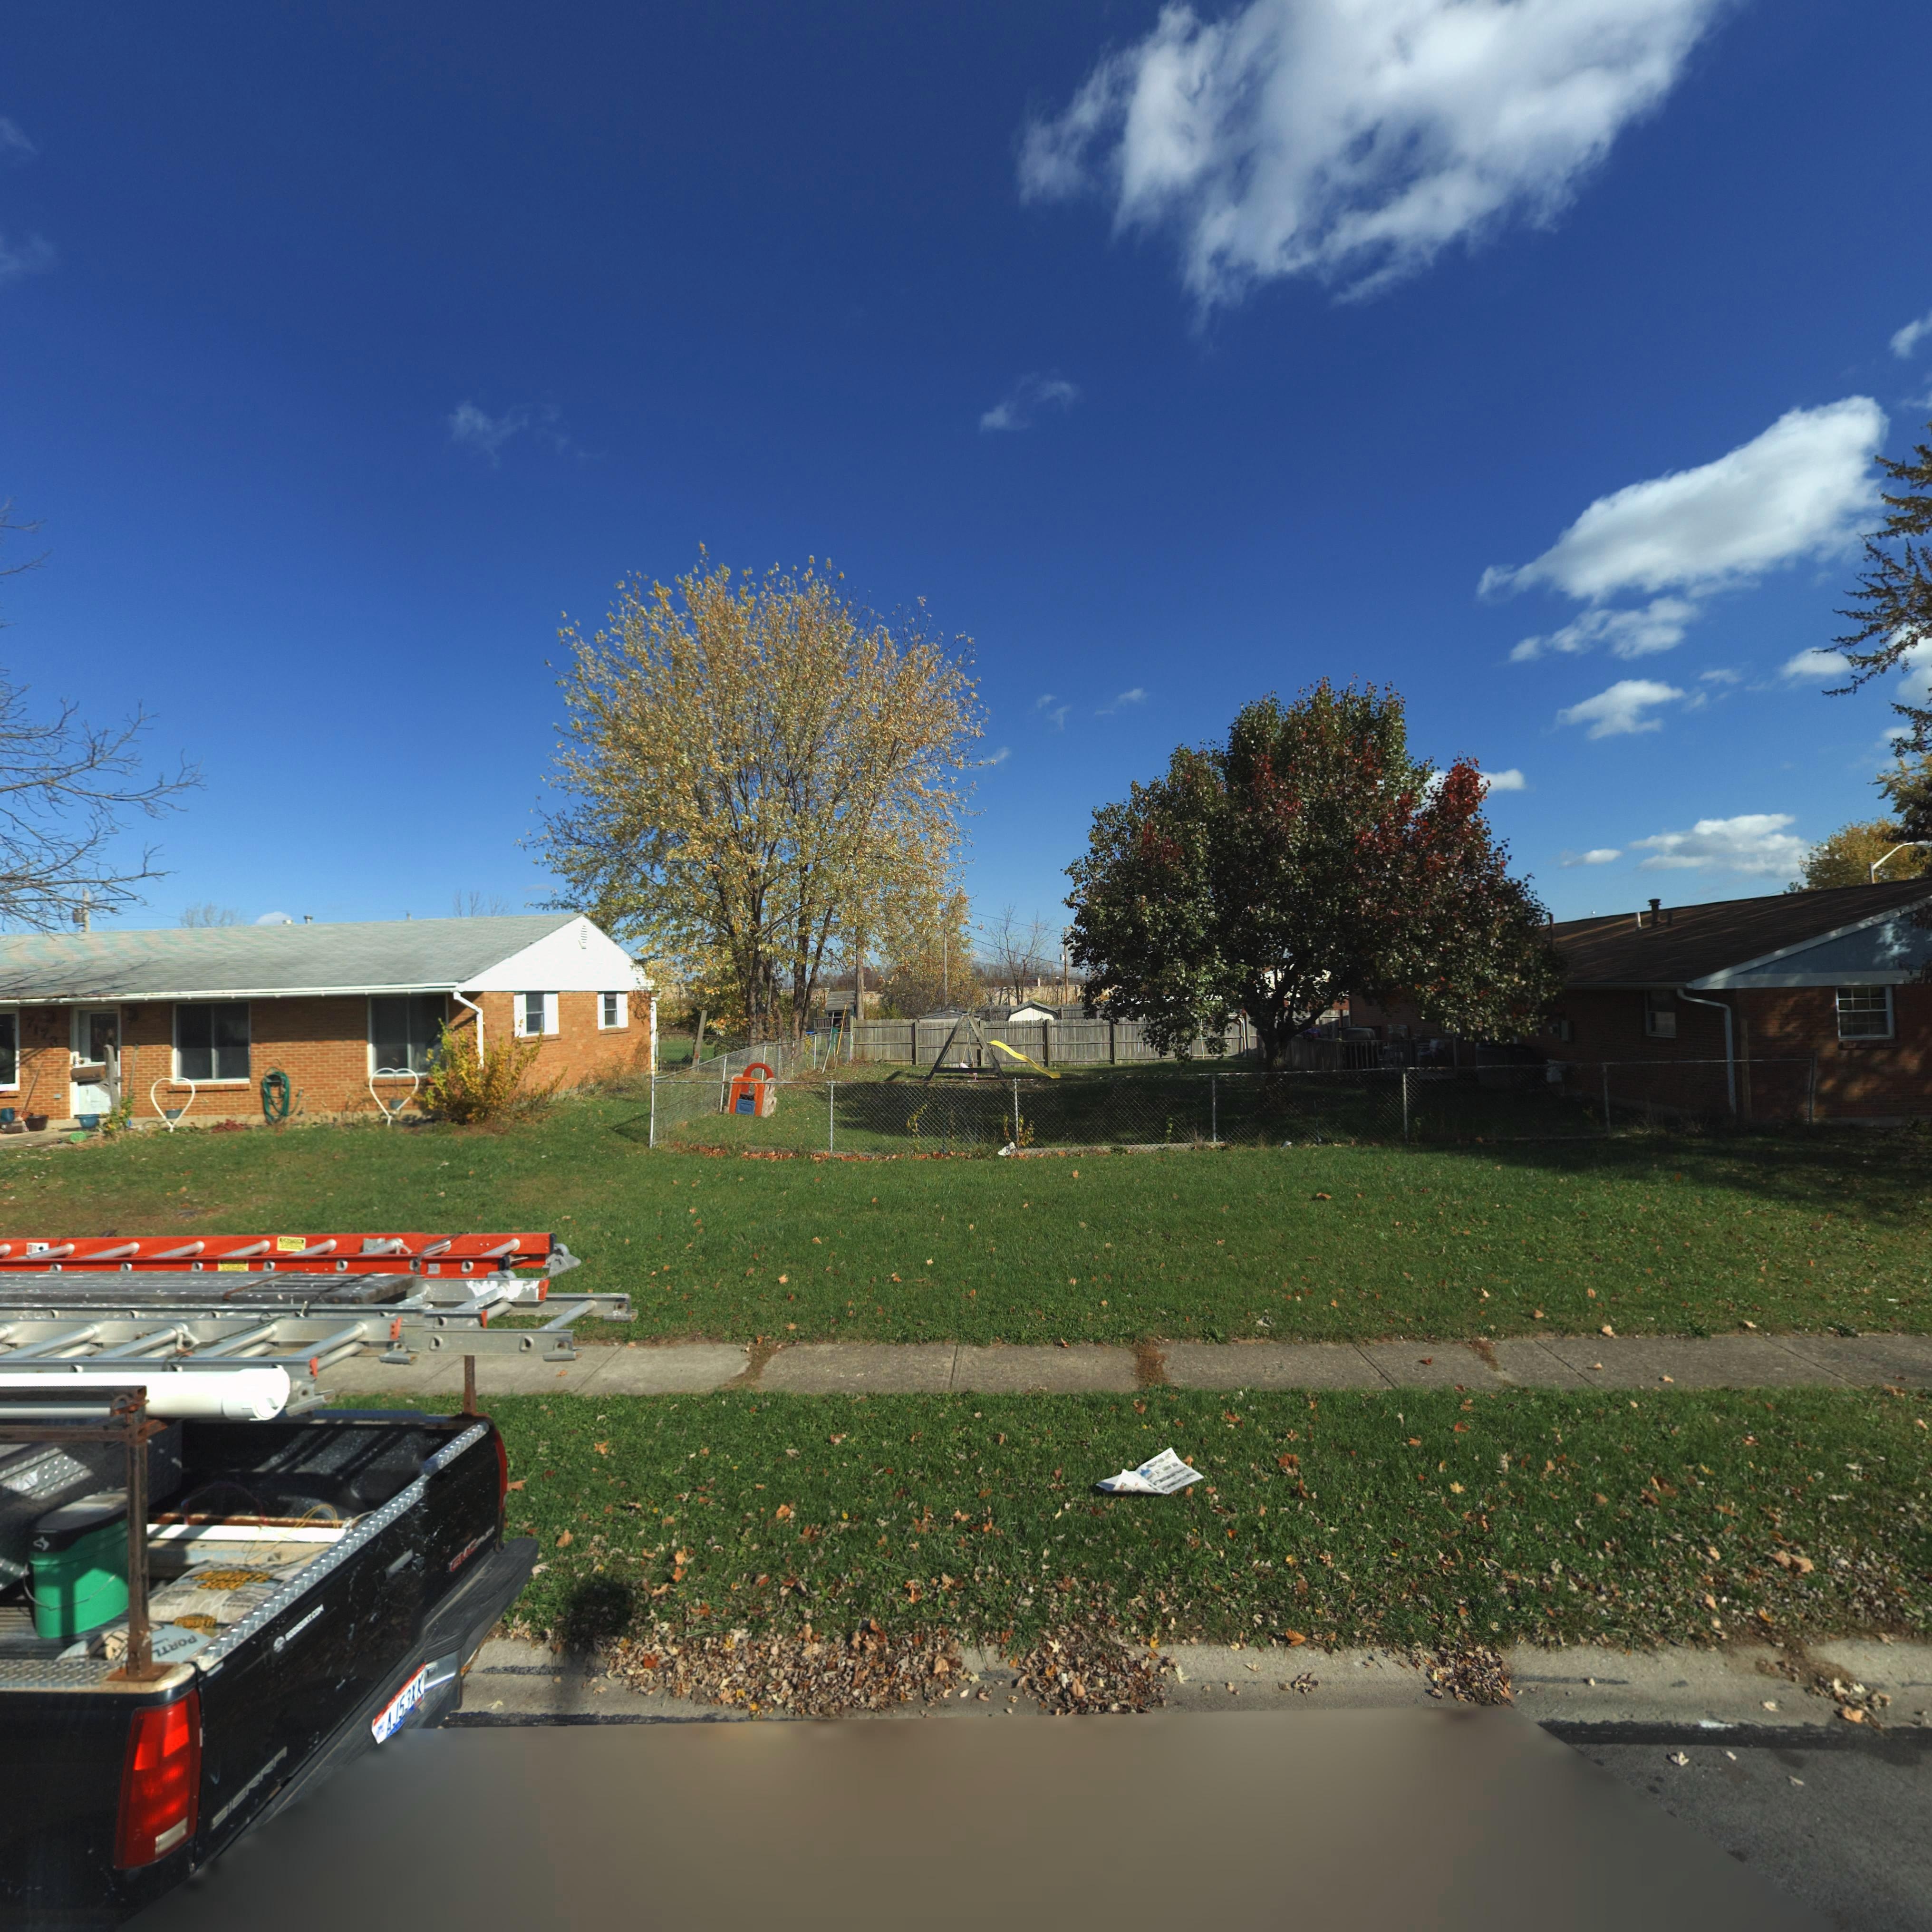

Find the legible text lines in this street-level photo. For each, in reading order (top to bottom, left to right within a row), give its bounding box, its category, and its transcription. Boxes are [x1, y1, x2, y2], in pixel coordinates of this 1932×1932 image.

[24, 1016, 61, 1049] StreetNumber: 7173